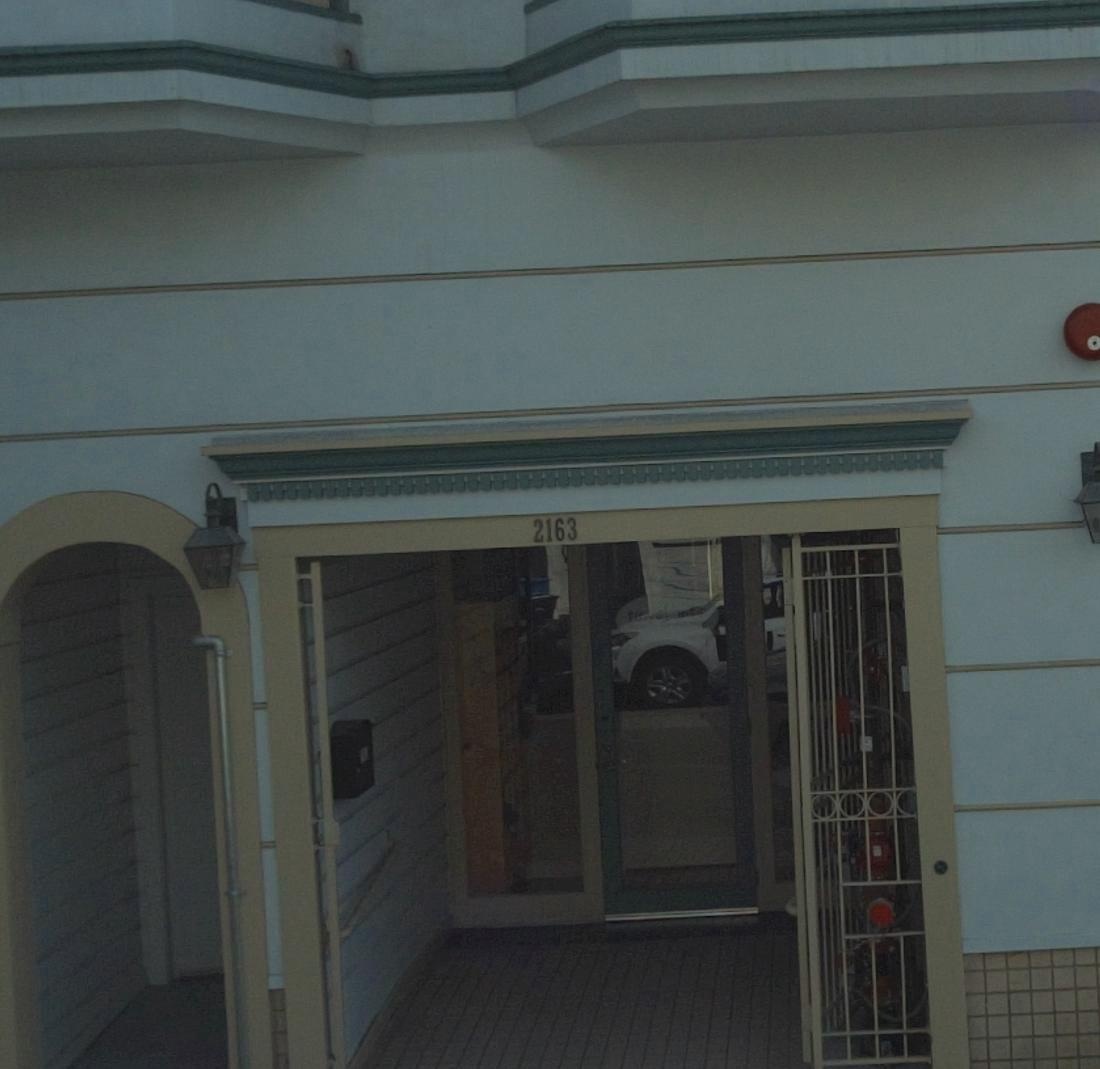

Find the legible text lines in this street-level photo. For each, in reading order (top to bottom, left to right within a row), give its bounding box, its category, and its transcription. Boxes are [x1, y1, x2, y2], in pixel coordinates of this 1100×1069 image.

[531, 514, 580, 546] StreetNumber: 2163